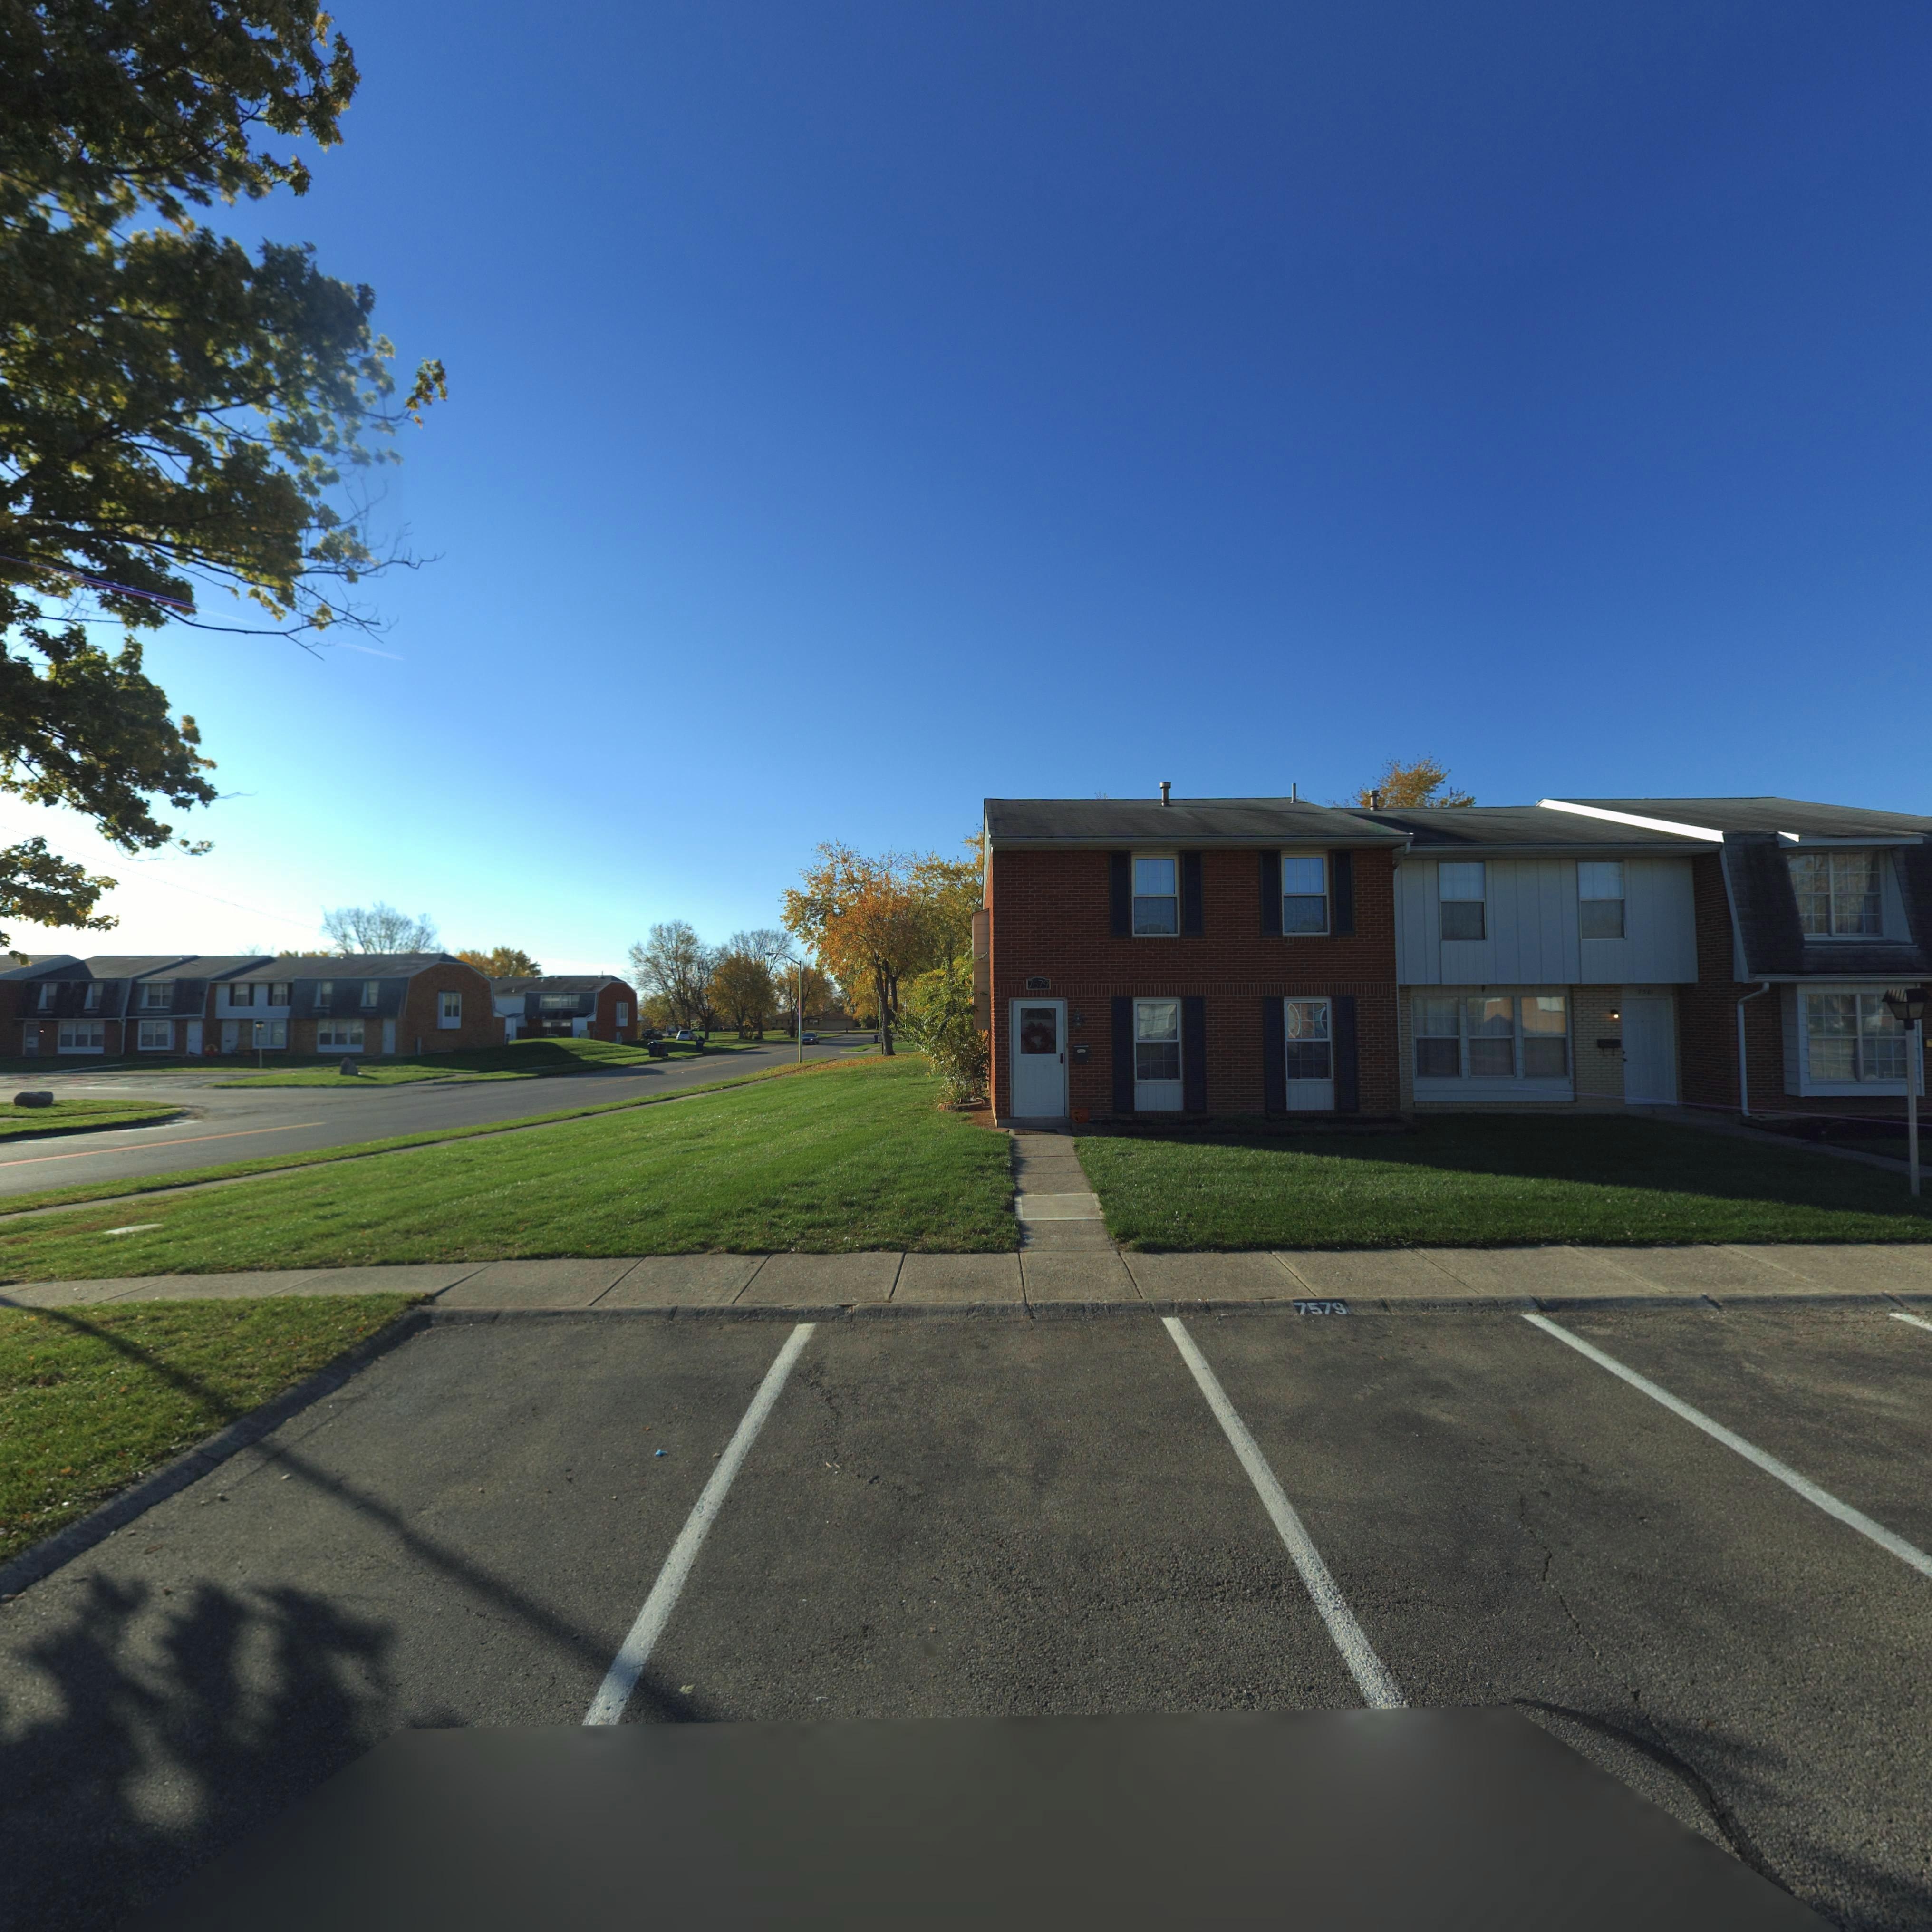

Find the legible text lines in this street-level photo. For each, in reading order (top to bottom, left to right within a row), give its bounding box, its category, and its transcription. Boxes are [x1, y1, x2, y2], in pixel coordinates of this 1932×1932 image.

[1027, 979, 1050, 989] StreetNumber: 7579
[1637, 988, 1654, 995] StreetNumber: 7581
[1292, 1301, 1348, 1315] StreetNumber: 7579